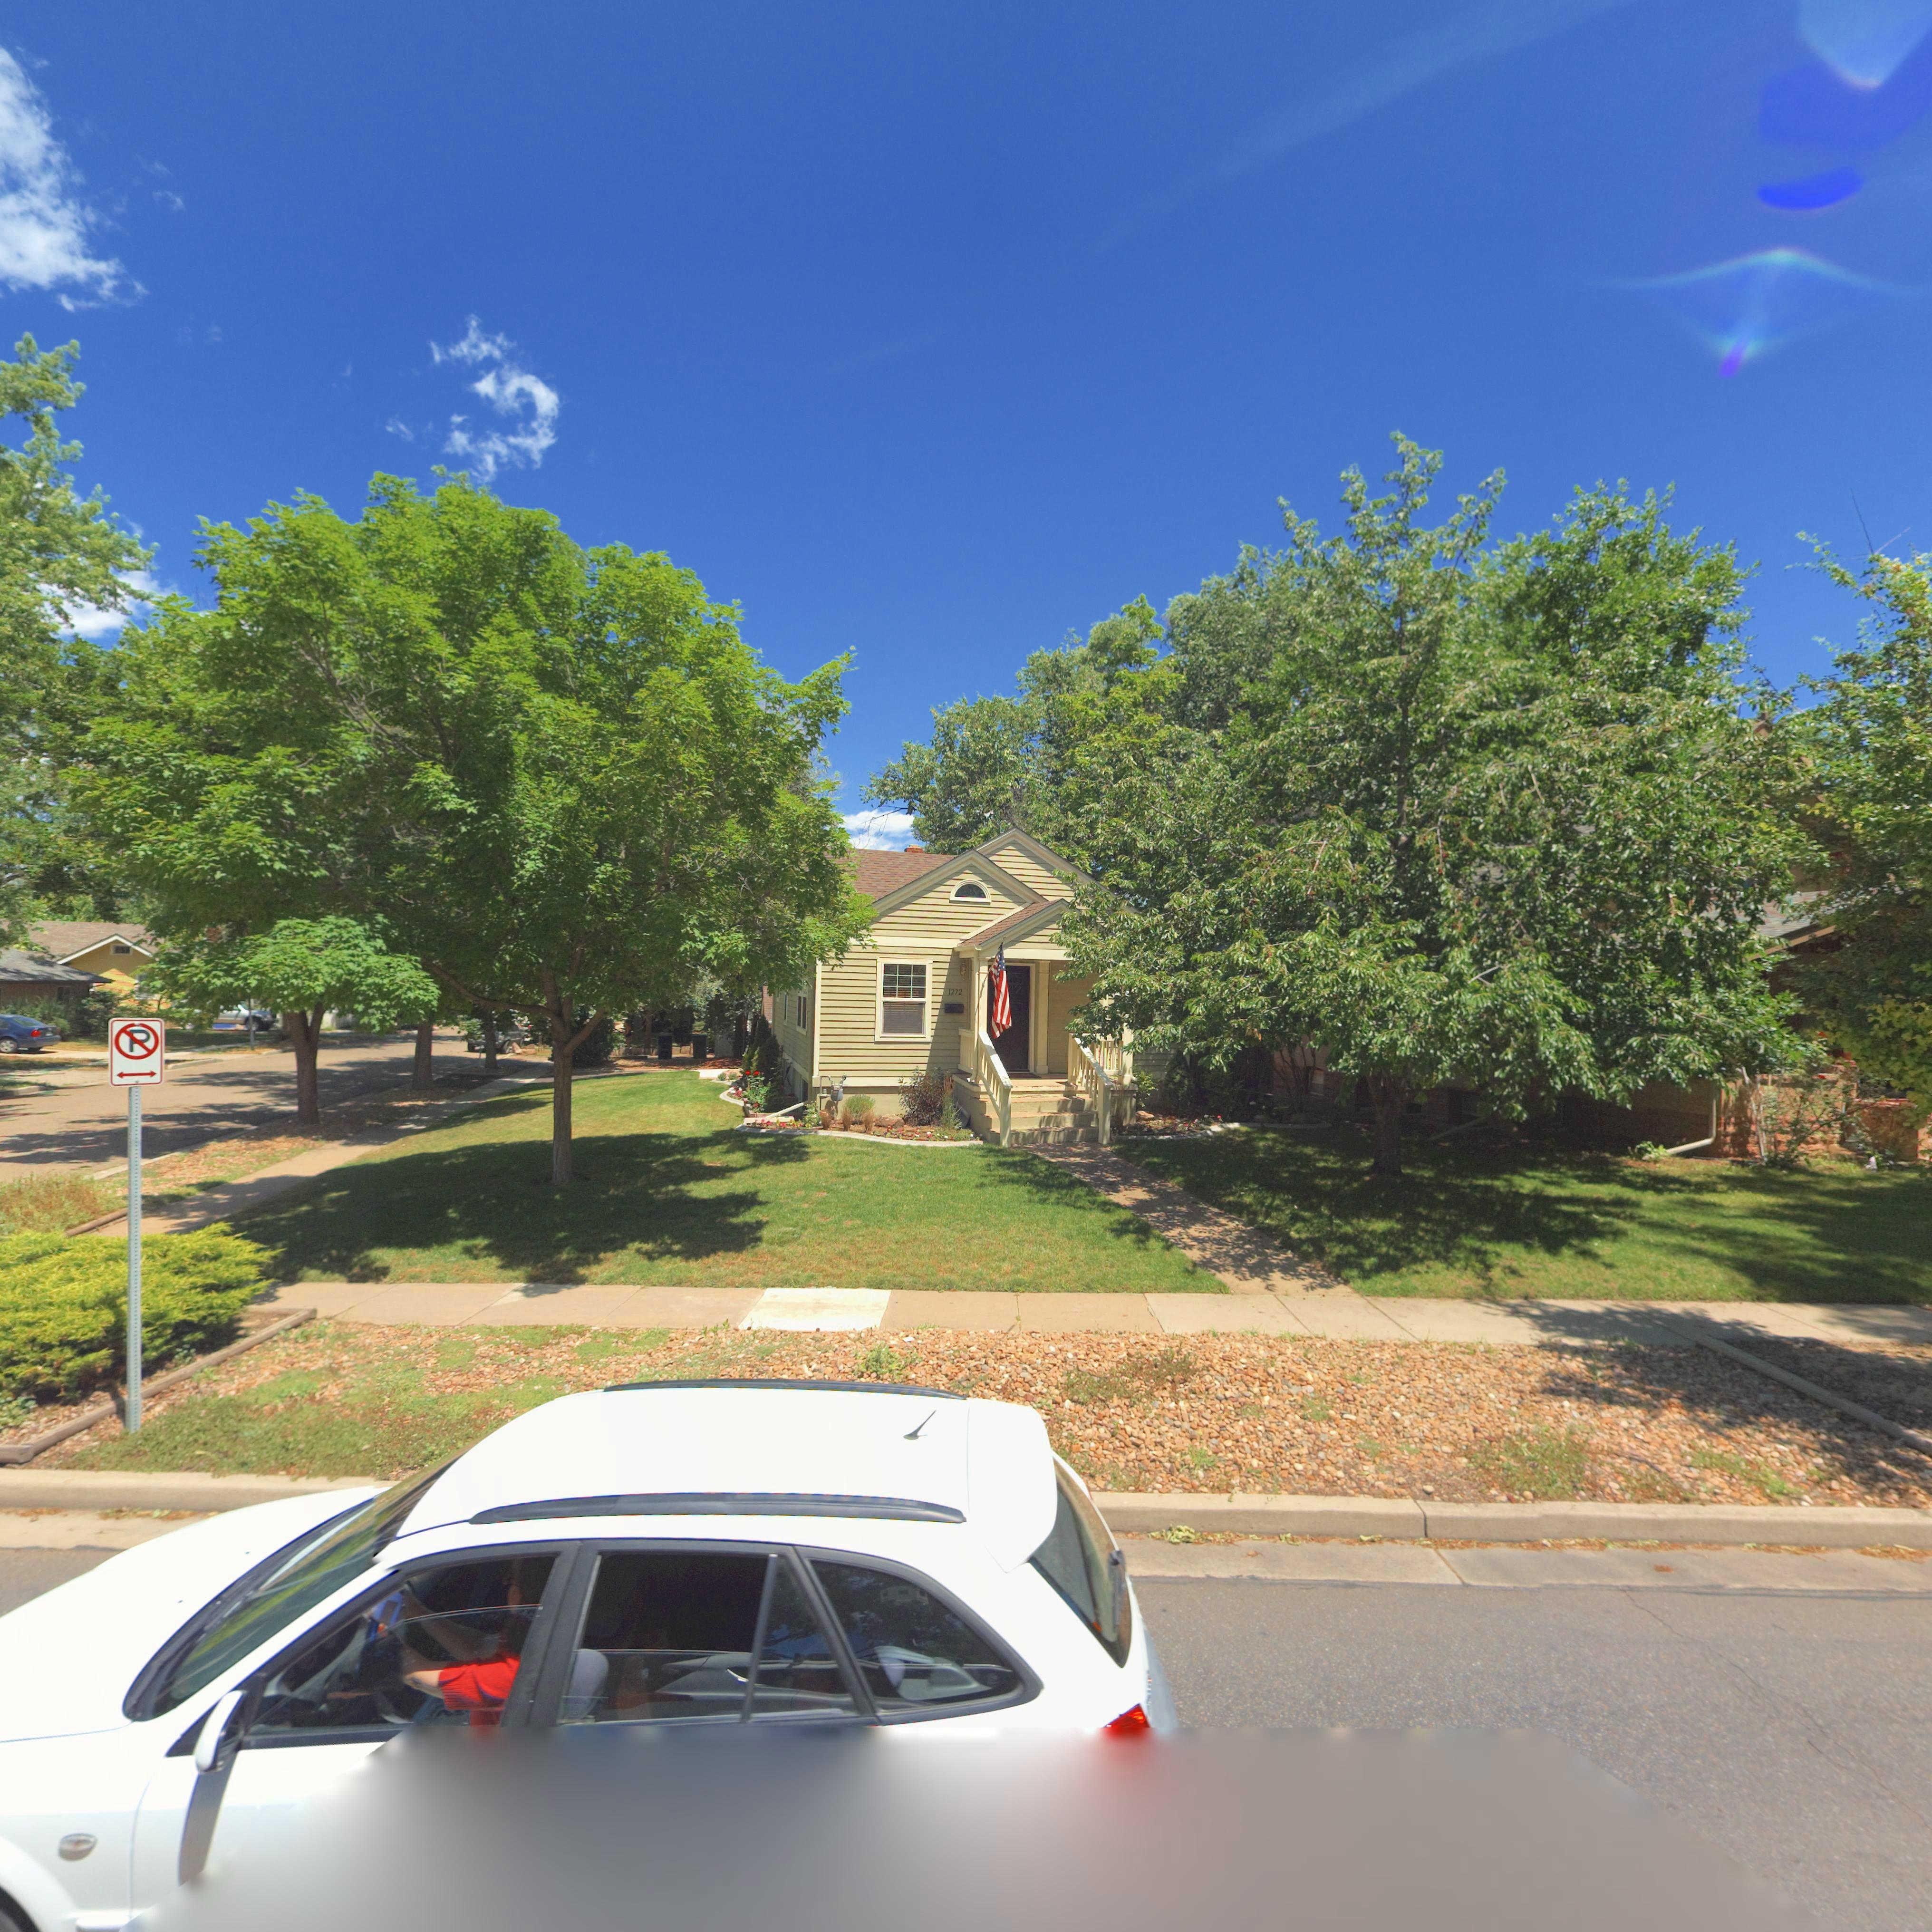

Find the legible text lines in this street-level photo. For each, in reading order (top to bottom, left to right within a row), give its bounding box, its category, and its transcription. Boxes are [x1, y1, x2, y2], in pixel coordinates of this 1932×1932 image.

[948, 988, 962, 995] StreetNumber: 1272